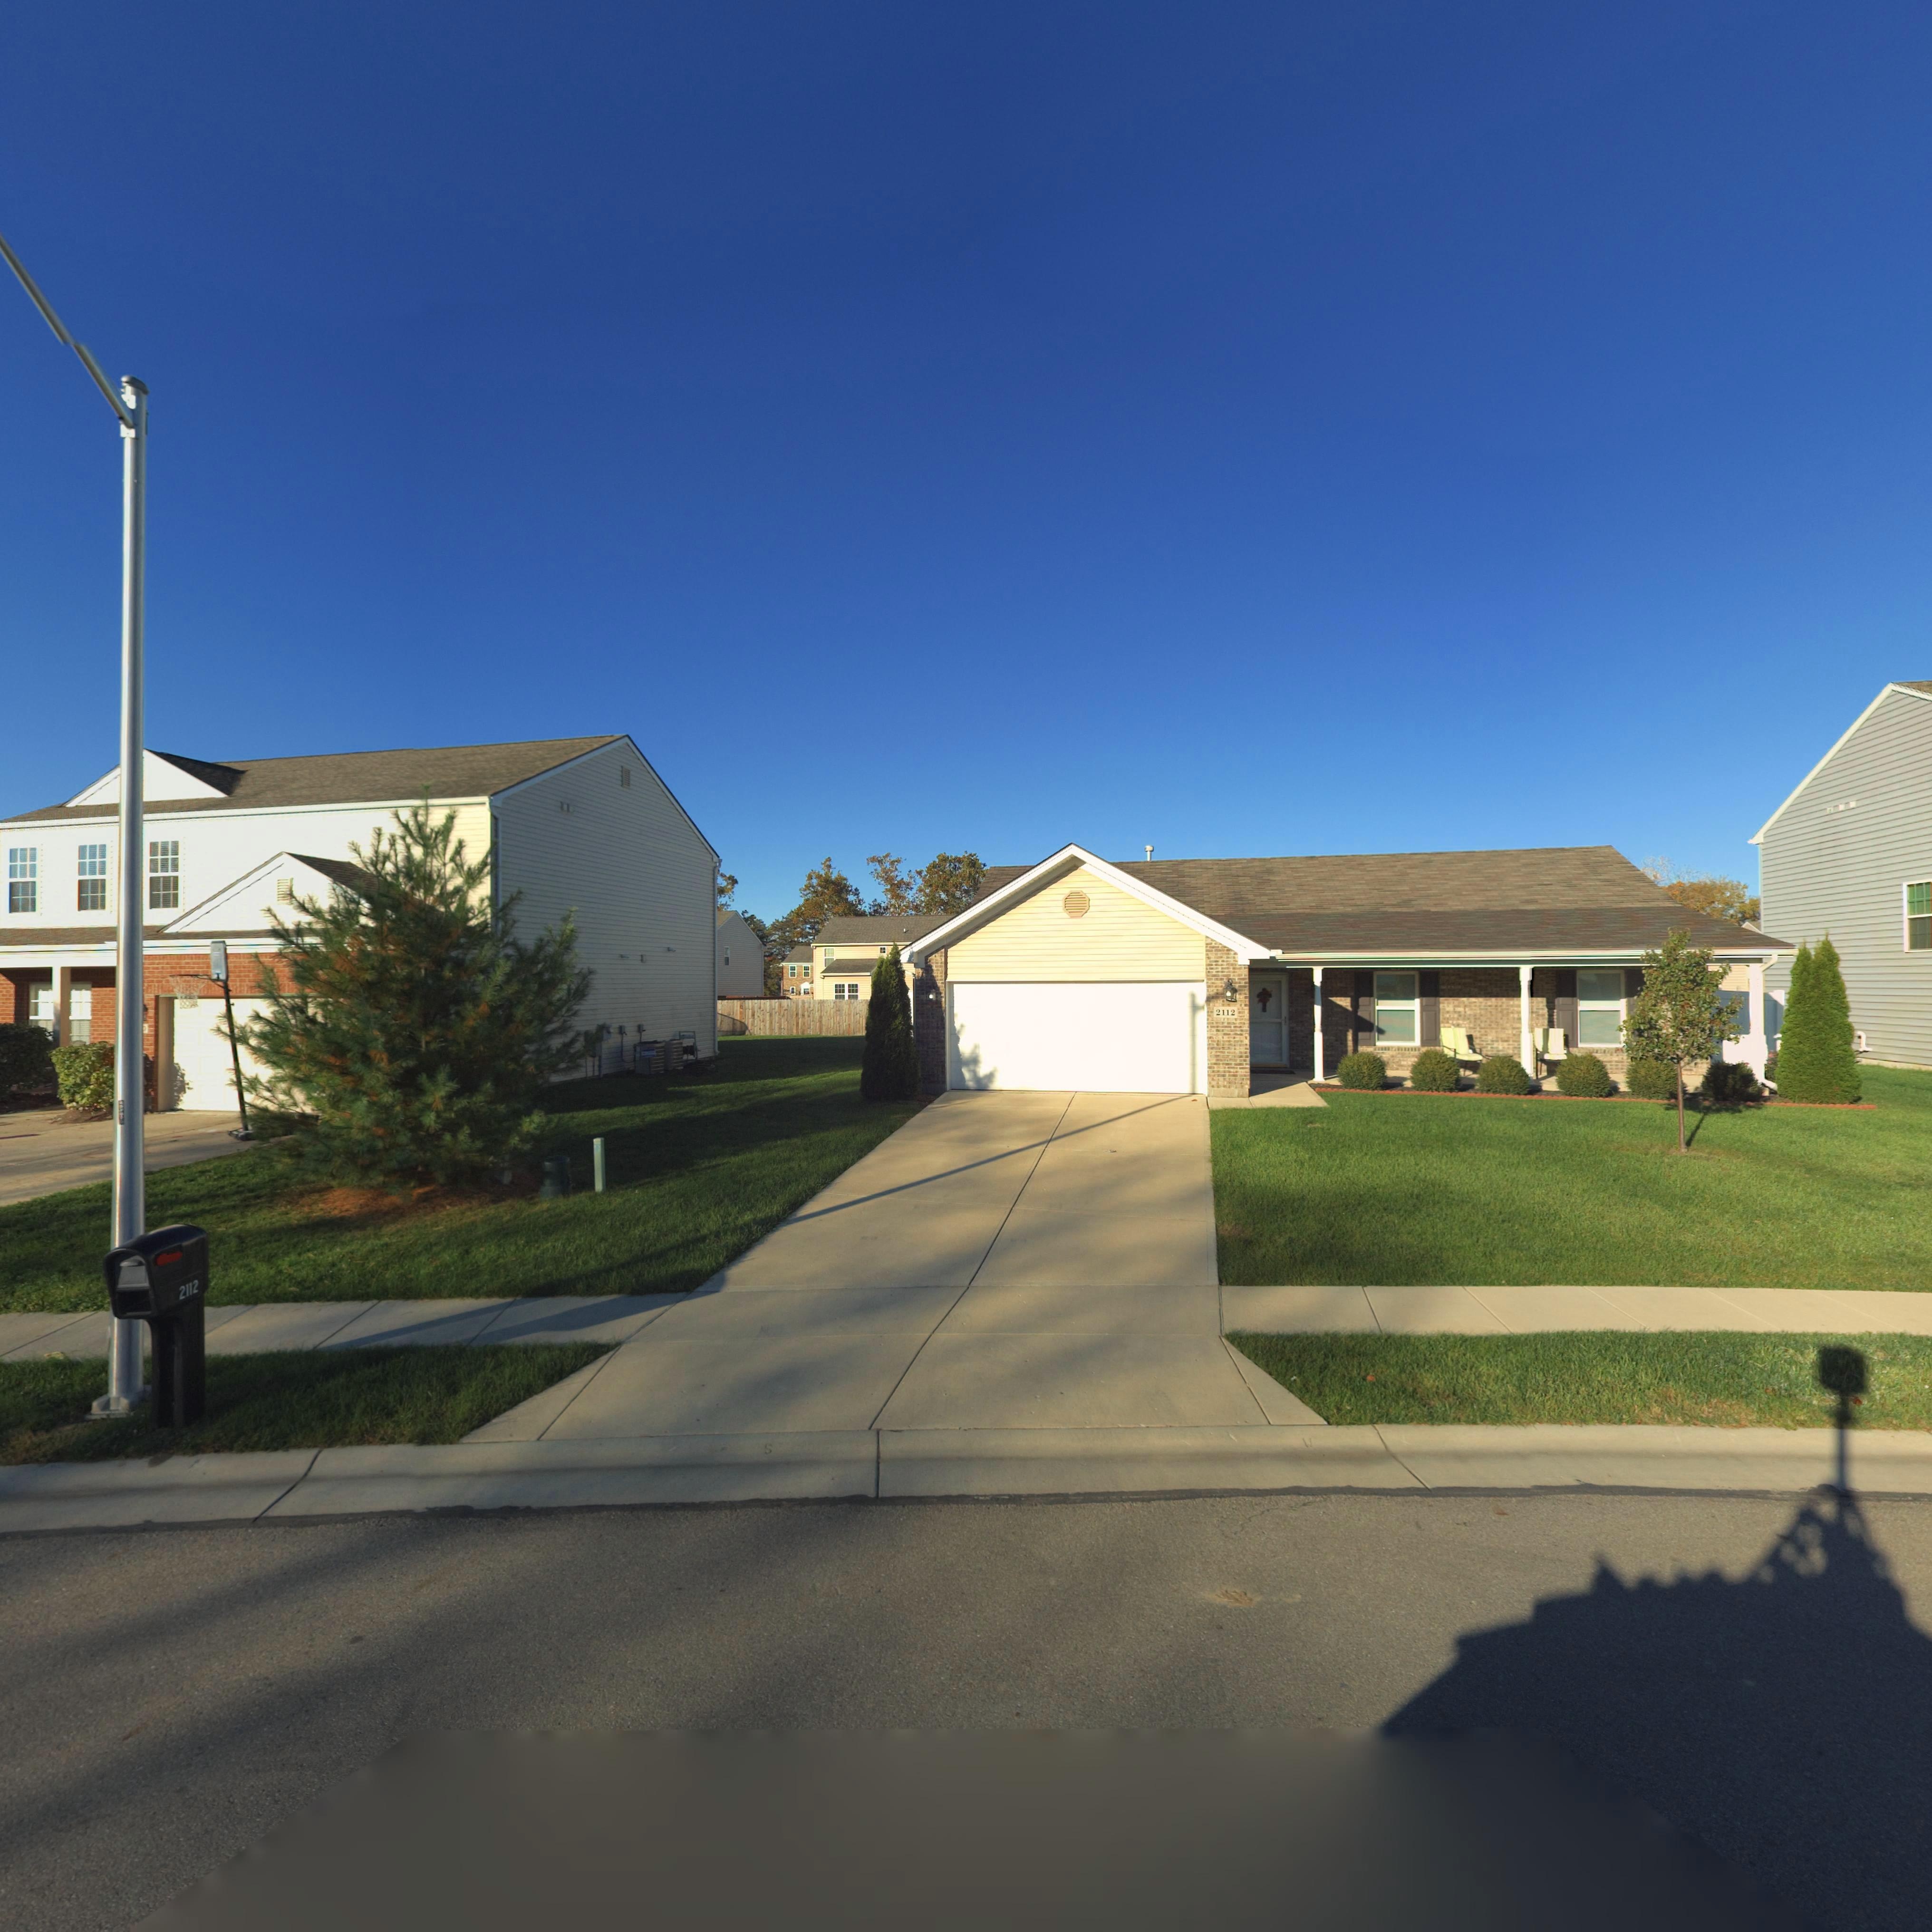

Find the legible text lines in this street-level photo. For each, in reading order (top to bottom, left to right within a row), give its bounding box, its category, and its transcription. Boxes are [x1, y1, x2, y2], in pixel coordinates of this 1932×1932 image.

[1215, 1008, 1236, 1017] StreetNumber: 2112
[177, 1277, 201, 1302] StreetNumber: 2112